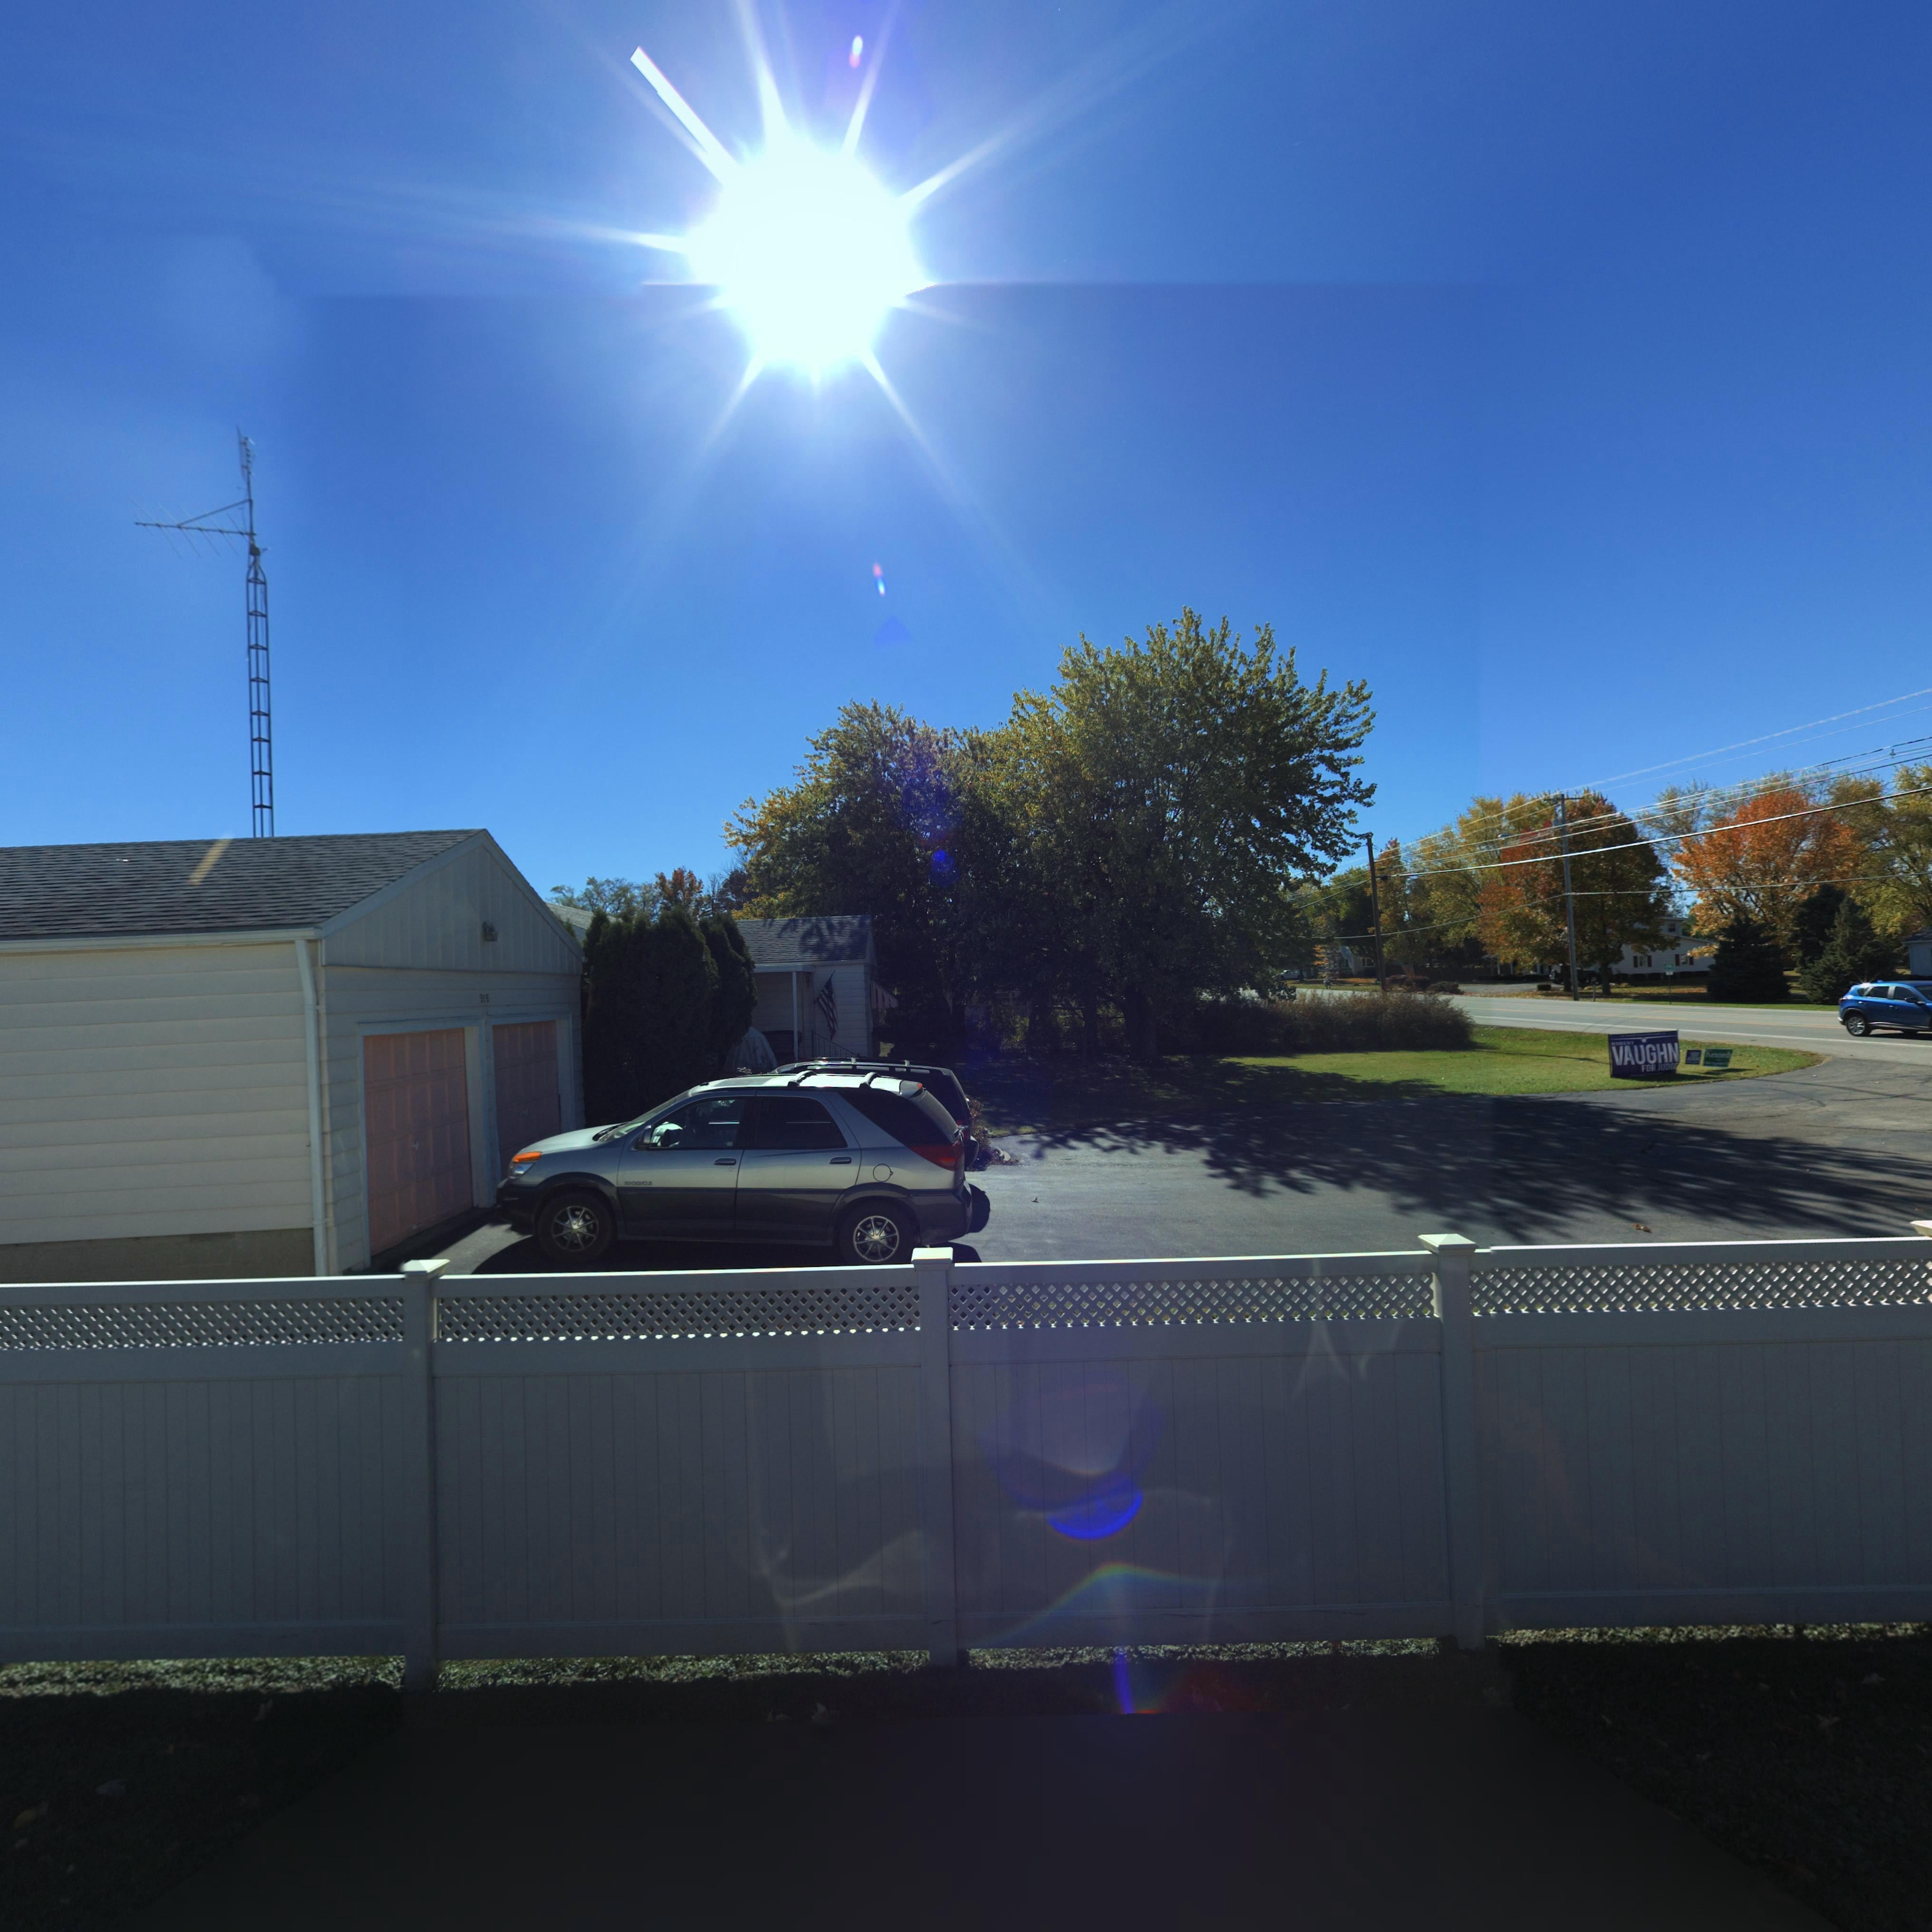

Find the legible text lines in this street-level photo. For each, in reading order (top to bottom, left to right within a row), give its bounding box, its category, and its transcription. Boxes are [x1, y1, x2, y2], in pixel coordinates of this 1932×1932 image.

[479, 993, 490, 1003] StreetNumber: 915